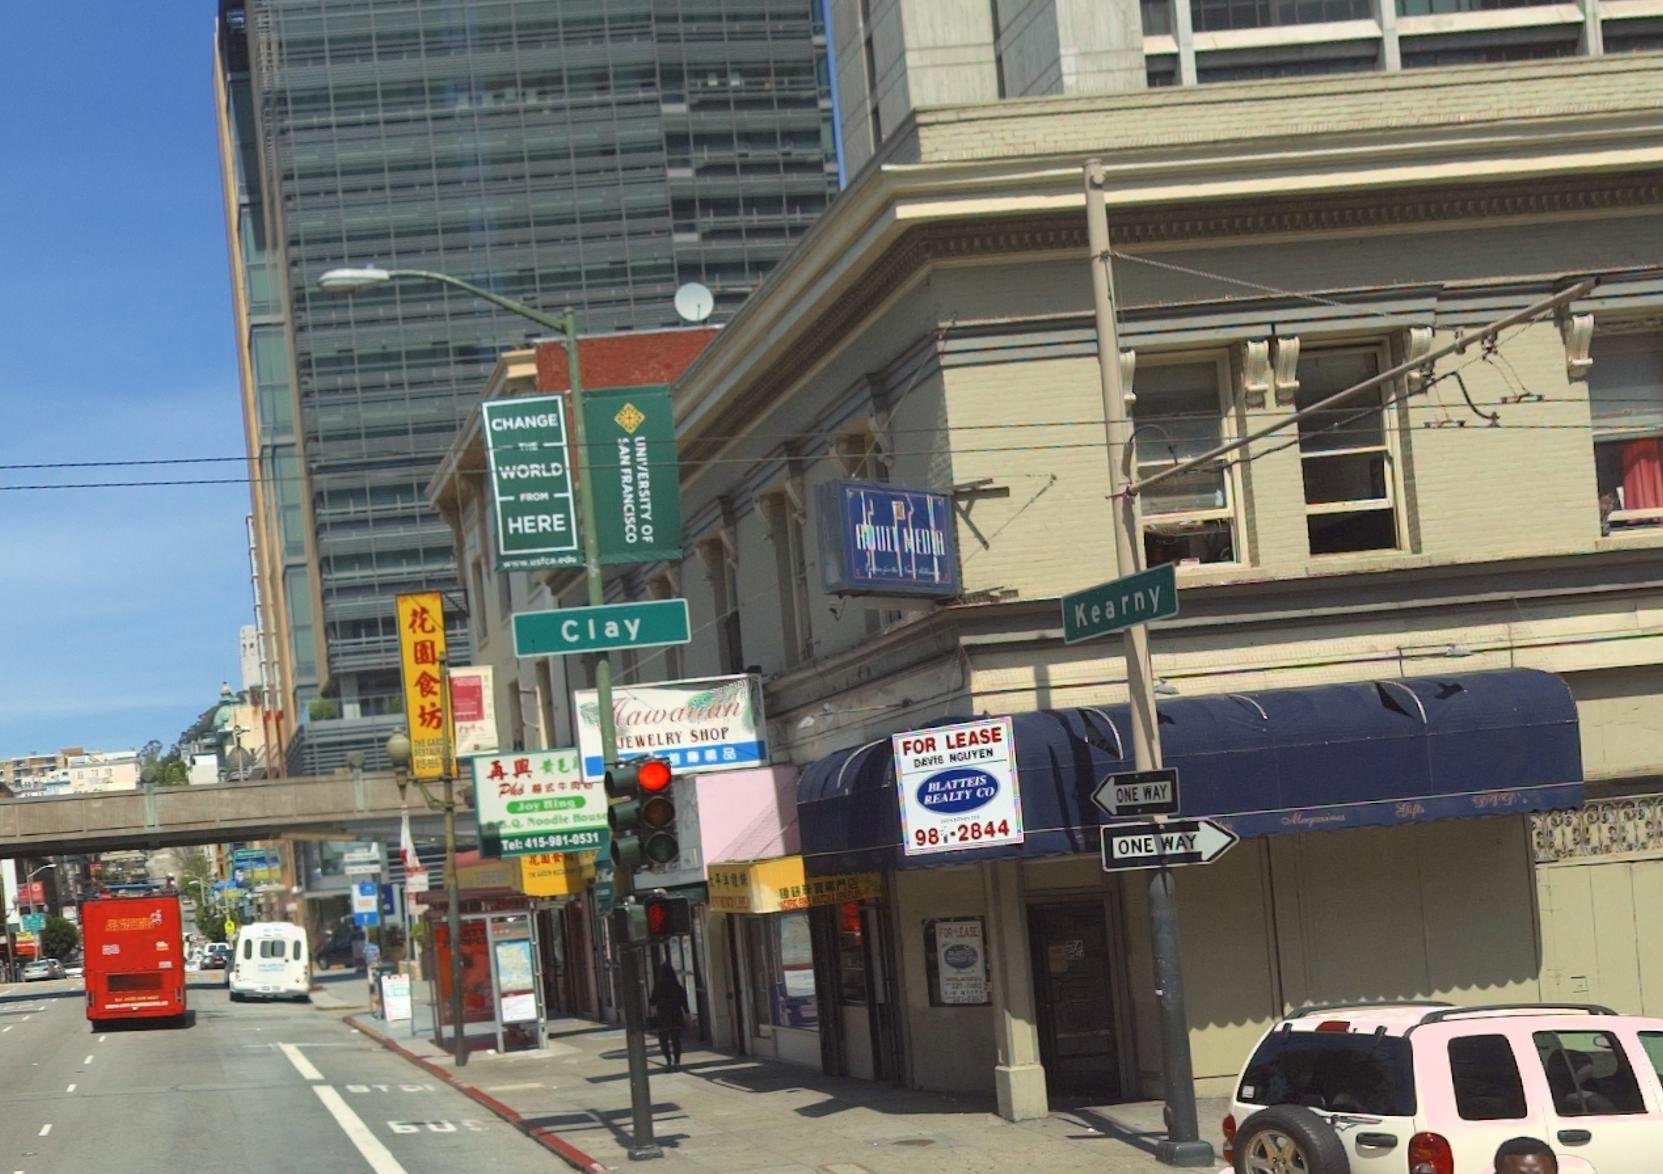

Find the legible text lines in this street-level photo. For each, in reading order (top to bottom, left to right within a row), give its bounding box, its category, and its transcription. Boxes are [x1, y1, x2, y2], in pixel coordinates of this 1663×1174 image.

[491, 412, 560, 431] None: CHANGE
[515, 440, 540, 454] None: THE
[496, 462, 564, 480] None: WORLD
[518, 490, 550, 503] None: FROM
[614, 435, 638, 548] None: *AN FRANCISCO
[633, 434, 657, 549] None: UNIVERSITY OF
[505, 512, 568, 535] None: HERE
[1073, 582, 1164, 631] StreetName: Kearny
[558, 617, 643, 646] StreetName: Clay
[624, 697, 746, 728] BusinessName: awaiian
[616, 726, 730, 750] BusinessName: JEWELRY SHOP
[899, 725, 1003, 757] None: FOR LEASE
[948, 745, 994, 764] None: NGUYEN
[514, 796, 584, 813] None: Joy Hing
[924, 774, 991, 793] None: BLATTEIS
[922, 786, 995, 805] None: REALTY CO
[1115, 784, 1169, 803] None: ONE WAY
[486, 812, 570, 830] None: B.B.Q. Noodle
[498, 831, 602, 852] None: Tel: 415-981-0531
[913, 819, 1011, 848] None: 98*-2844
[1116, 834, 1198, 855] None: ONE WAY
[938, 925, 980, 940] None: FOR LEASE
[341, 1080, 444, 1096] None: STO*
[382, 1115, 498, 1139] None: BUS